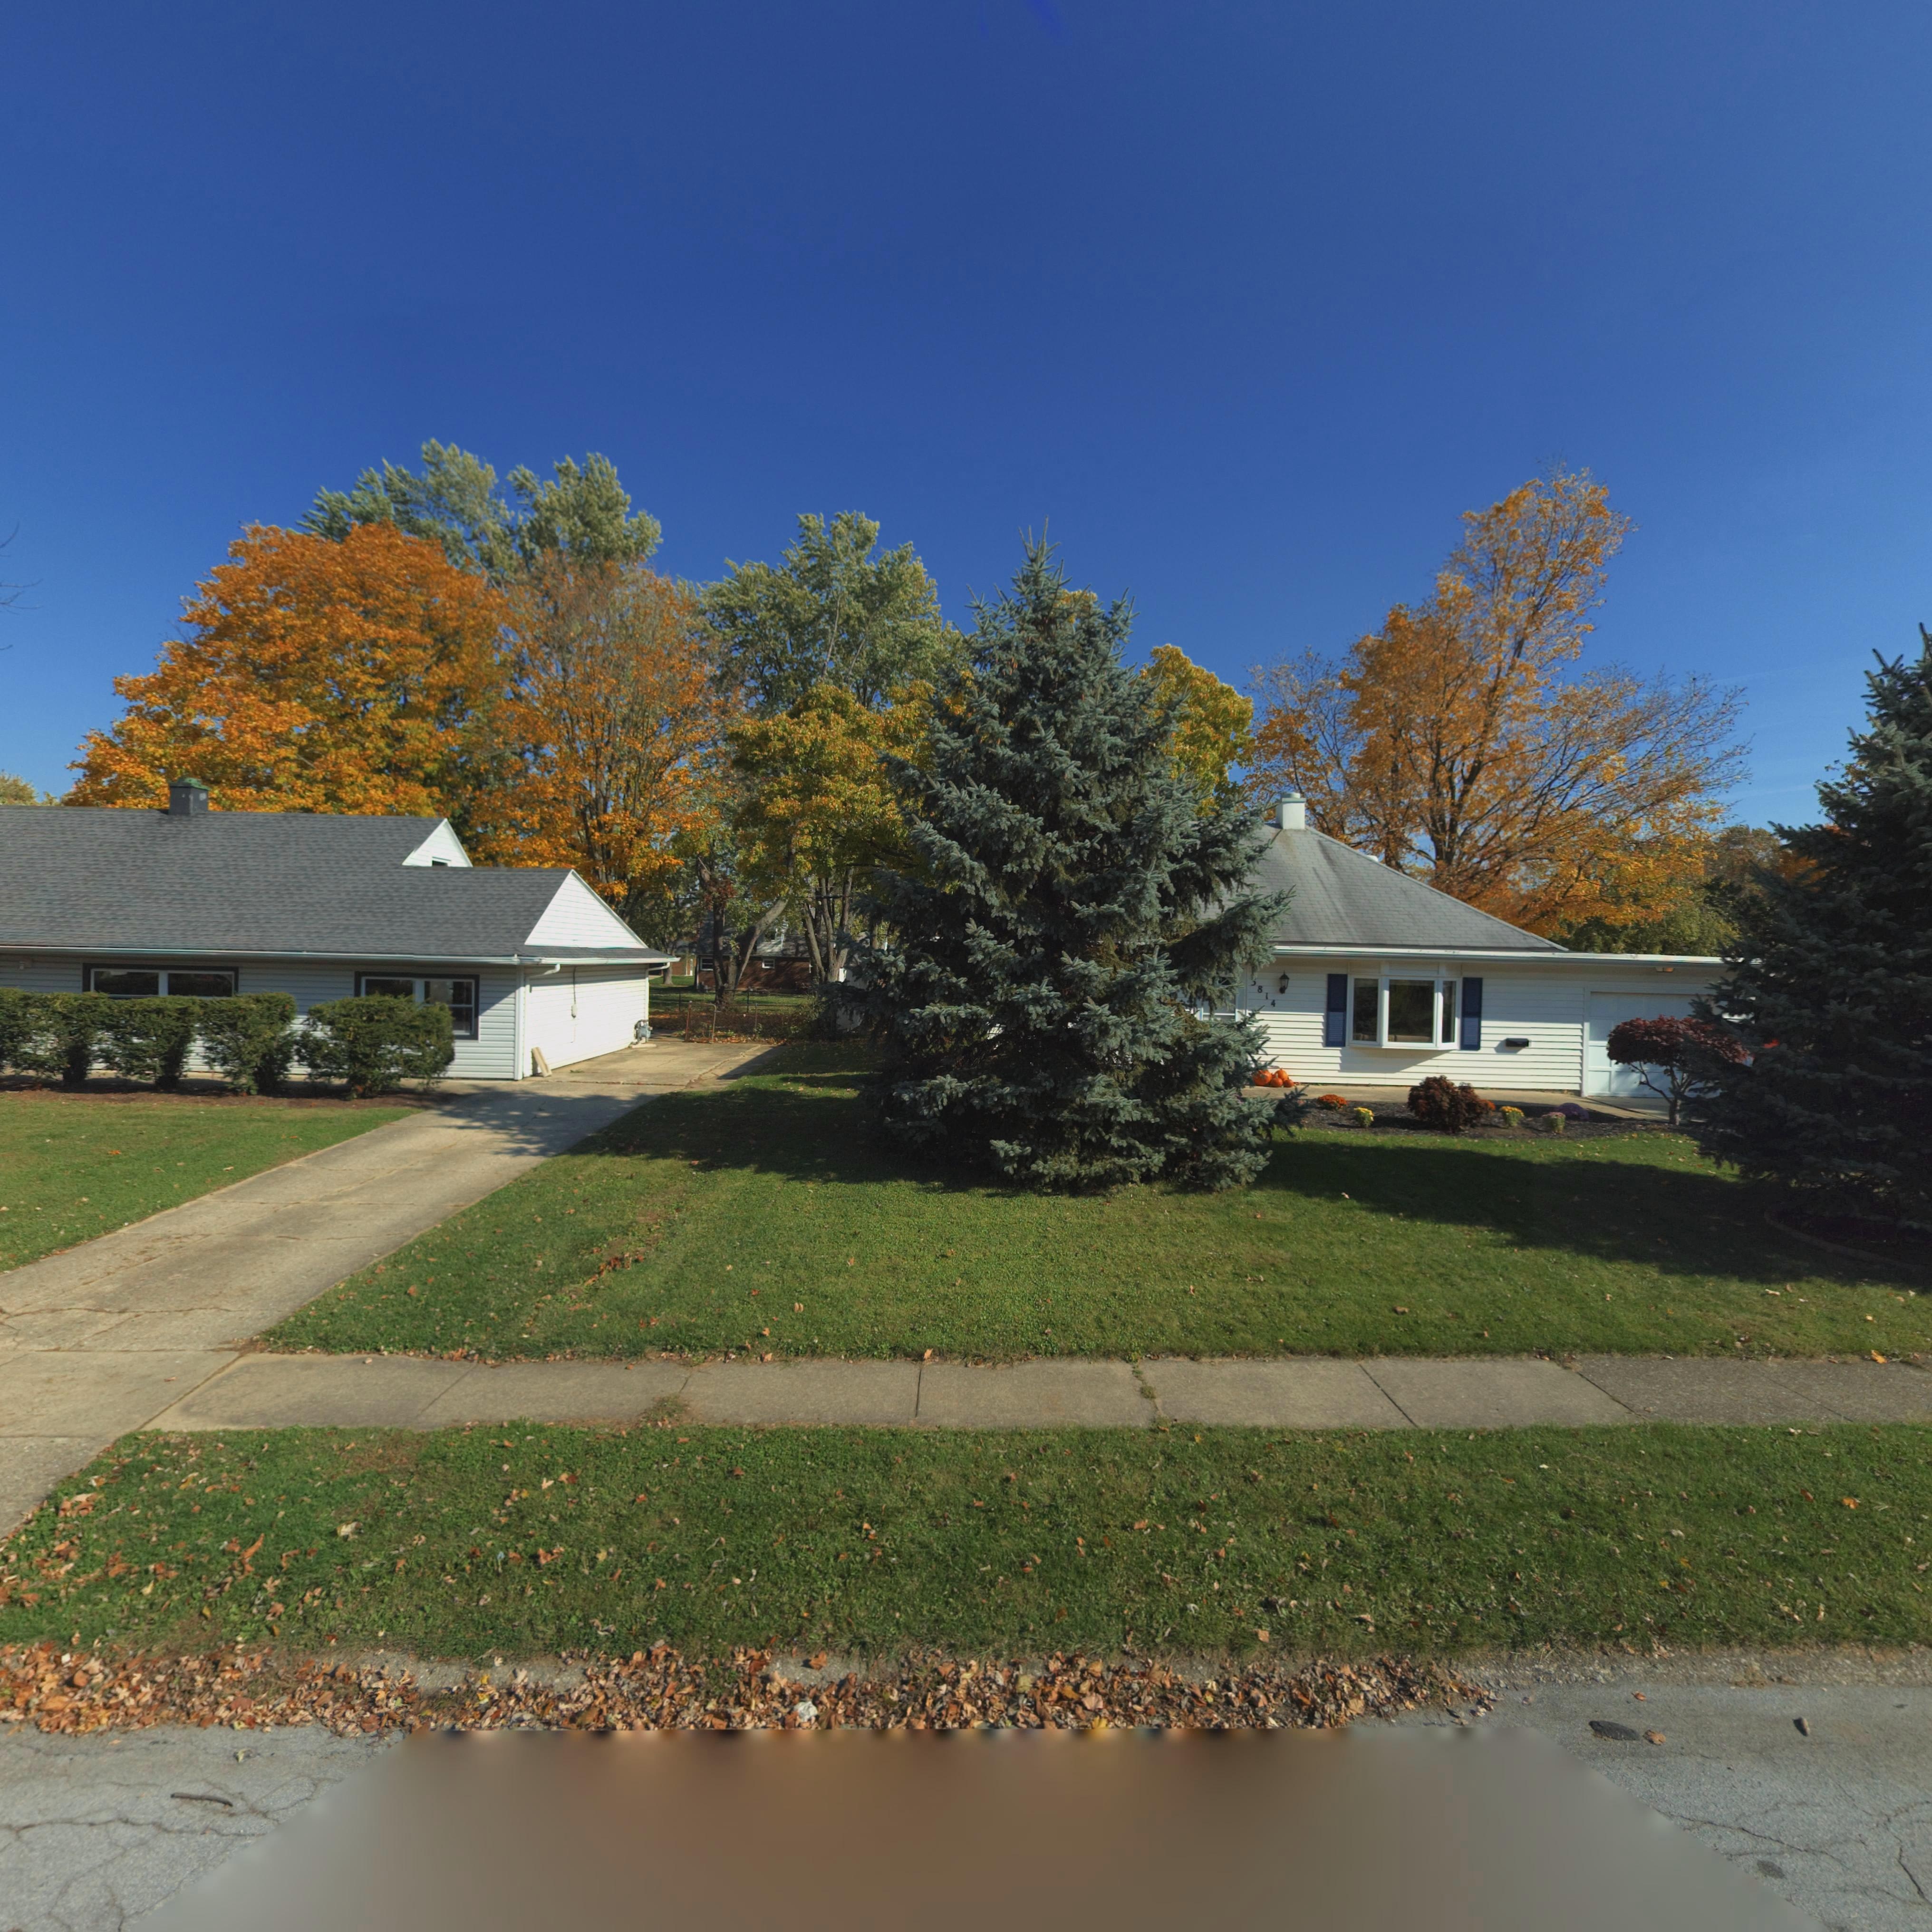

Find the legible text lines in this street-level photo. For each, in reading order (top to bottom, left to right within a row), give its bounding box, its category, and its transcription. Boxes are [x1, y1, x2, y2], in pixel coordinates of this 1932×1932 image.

[1250, 977, 1276, 1008] StreetNumber: *814